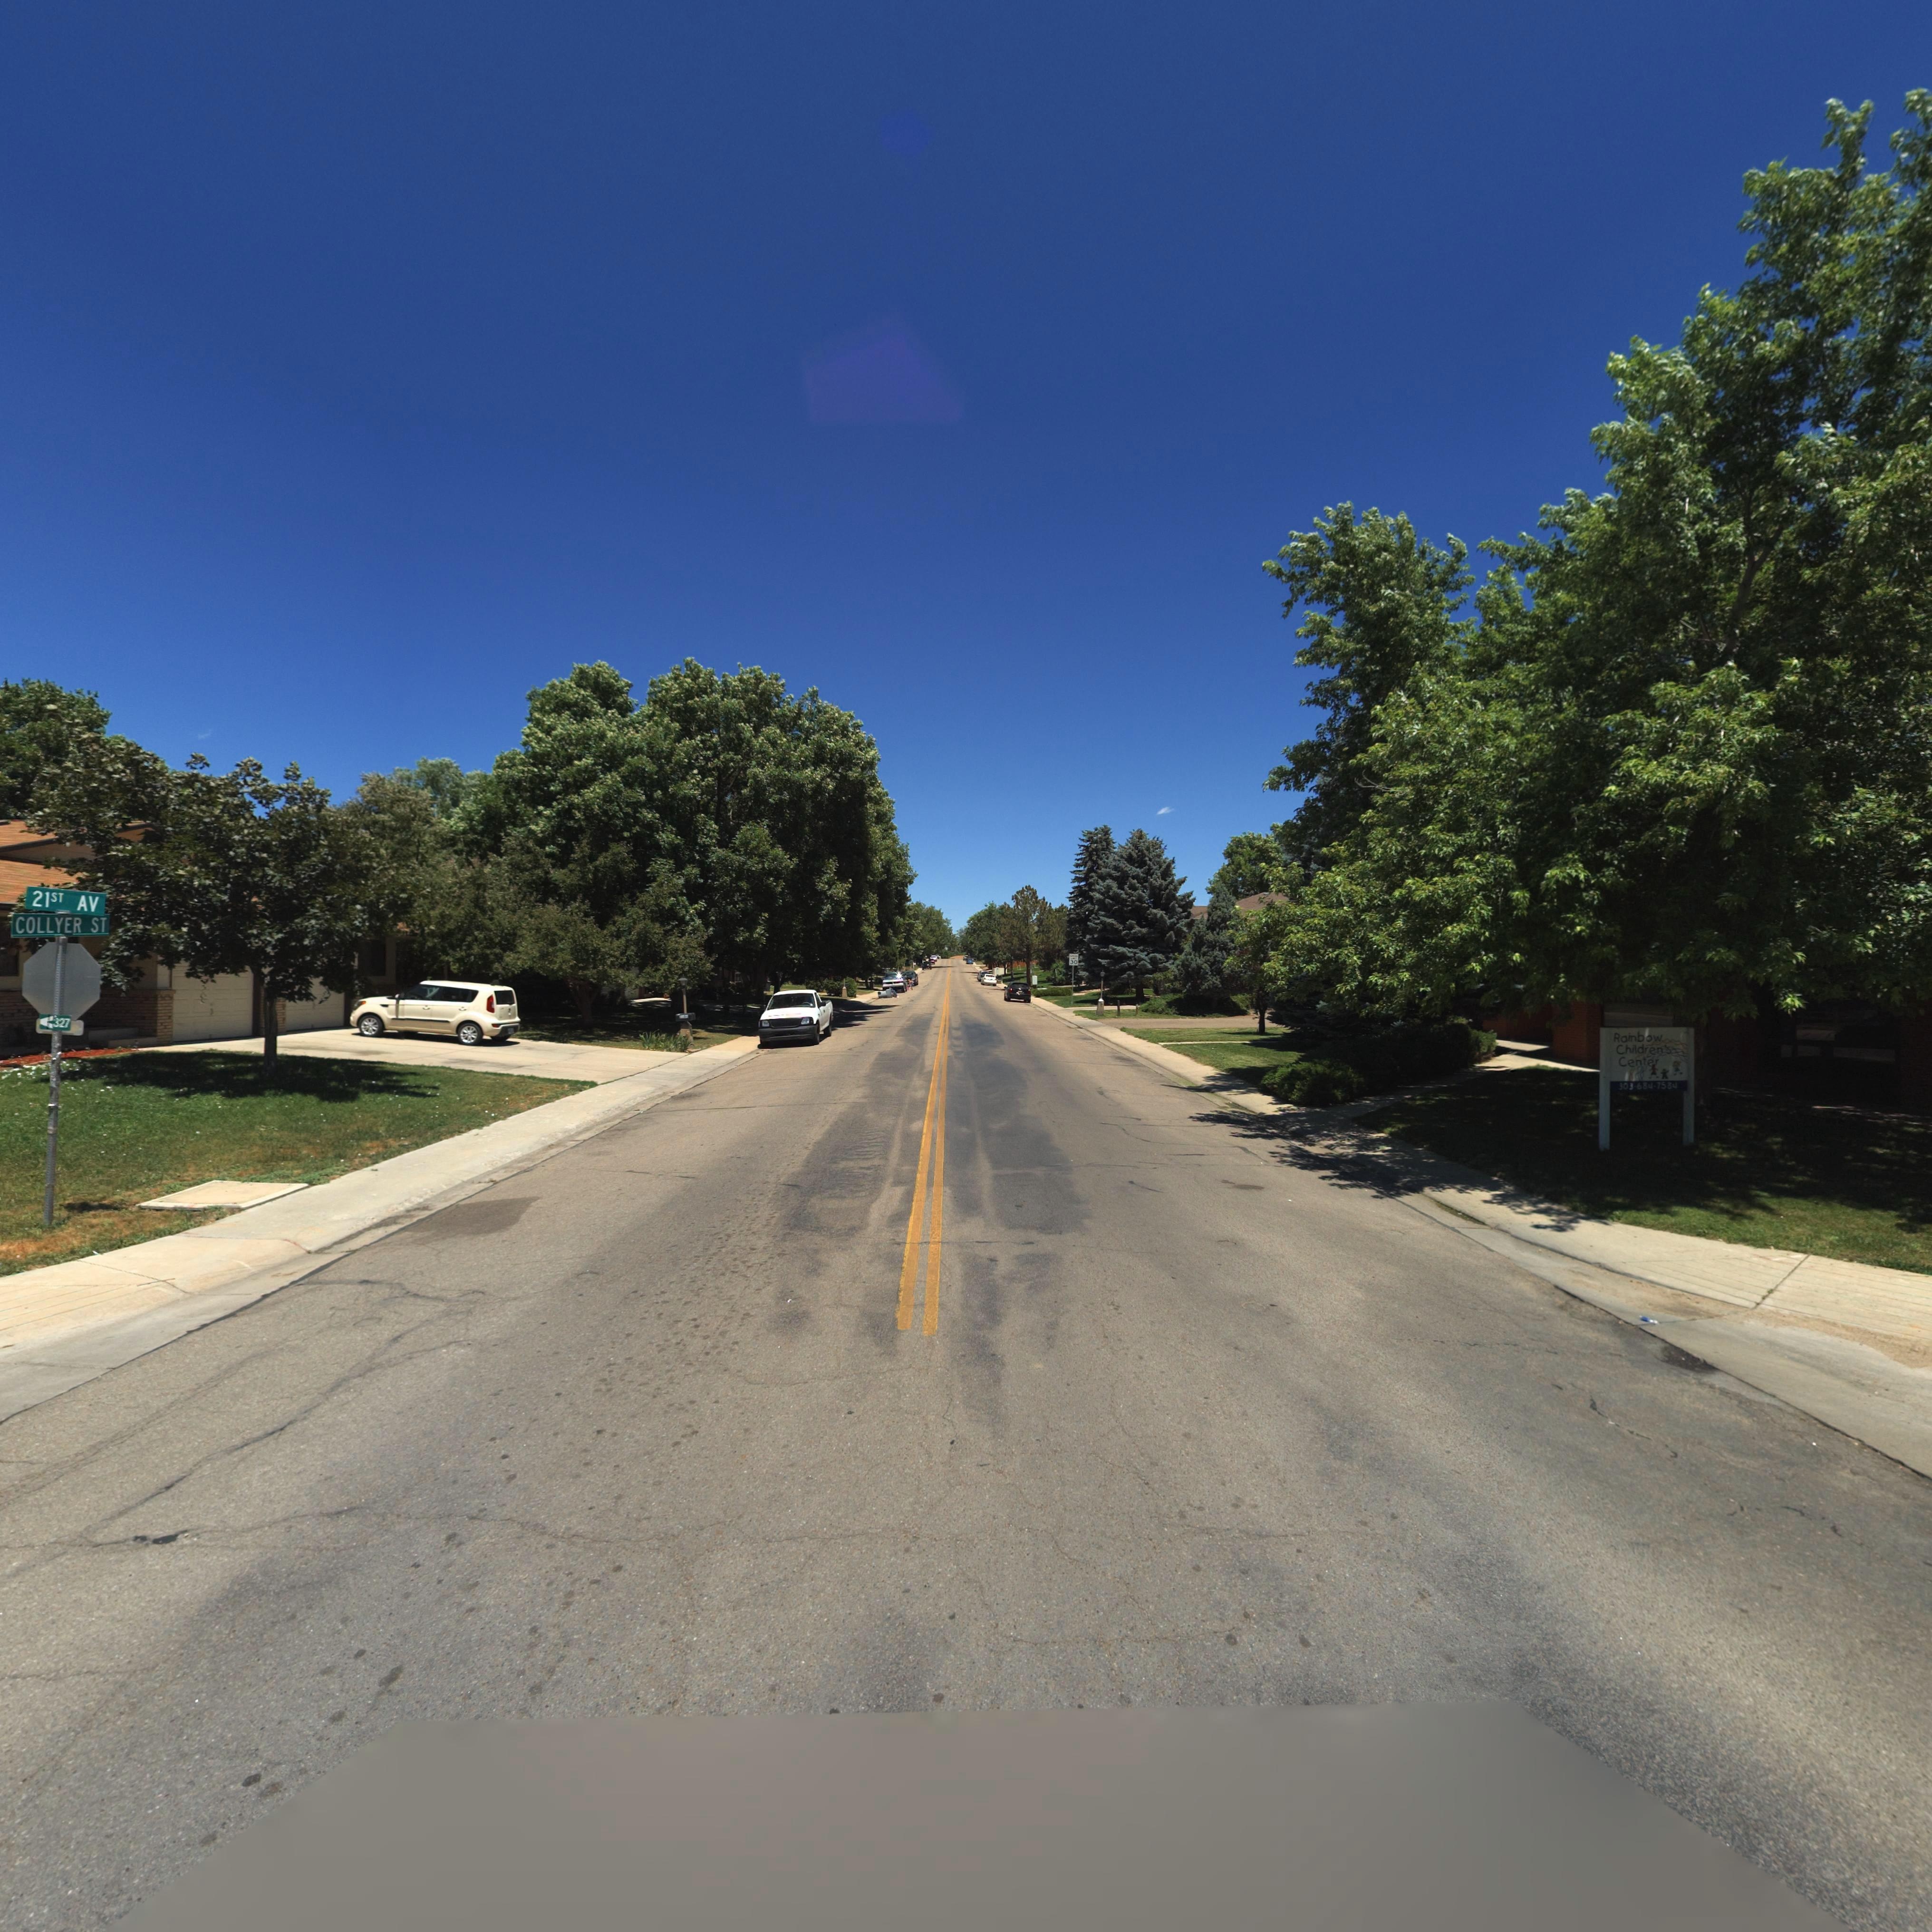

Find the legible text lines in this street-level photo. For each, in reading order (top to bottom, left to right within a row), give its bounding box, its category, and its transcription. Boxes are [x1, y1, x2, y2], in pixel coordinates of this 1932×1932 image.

[31, 889, 100, 912] StreetName: 21ST AV
[15, 916, 108, 934] StreetName: COLLYER ST
[1613, 1031, 1662, 1043] BusinessName: Rainbow
[1615, 1043, 1671, 1055] BusinessName: Children's
[1618, 1056, 1660, 1067] BusinessName: Center